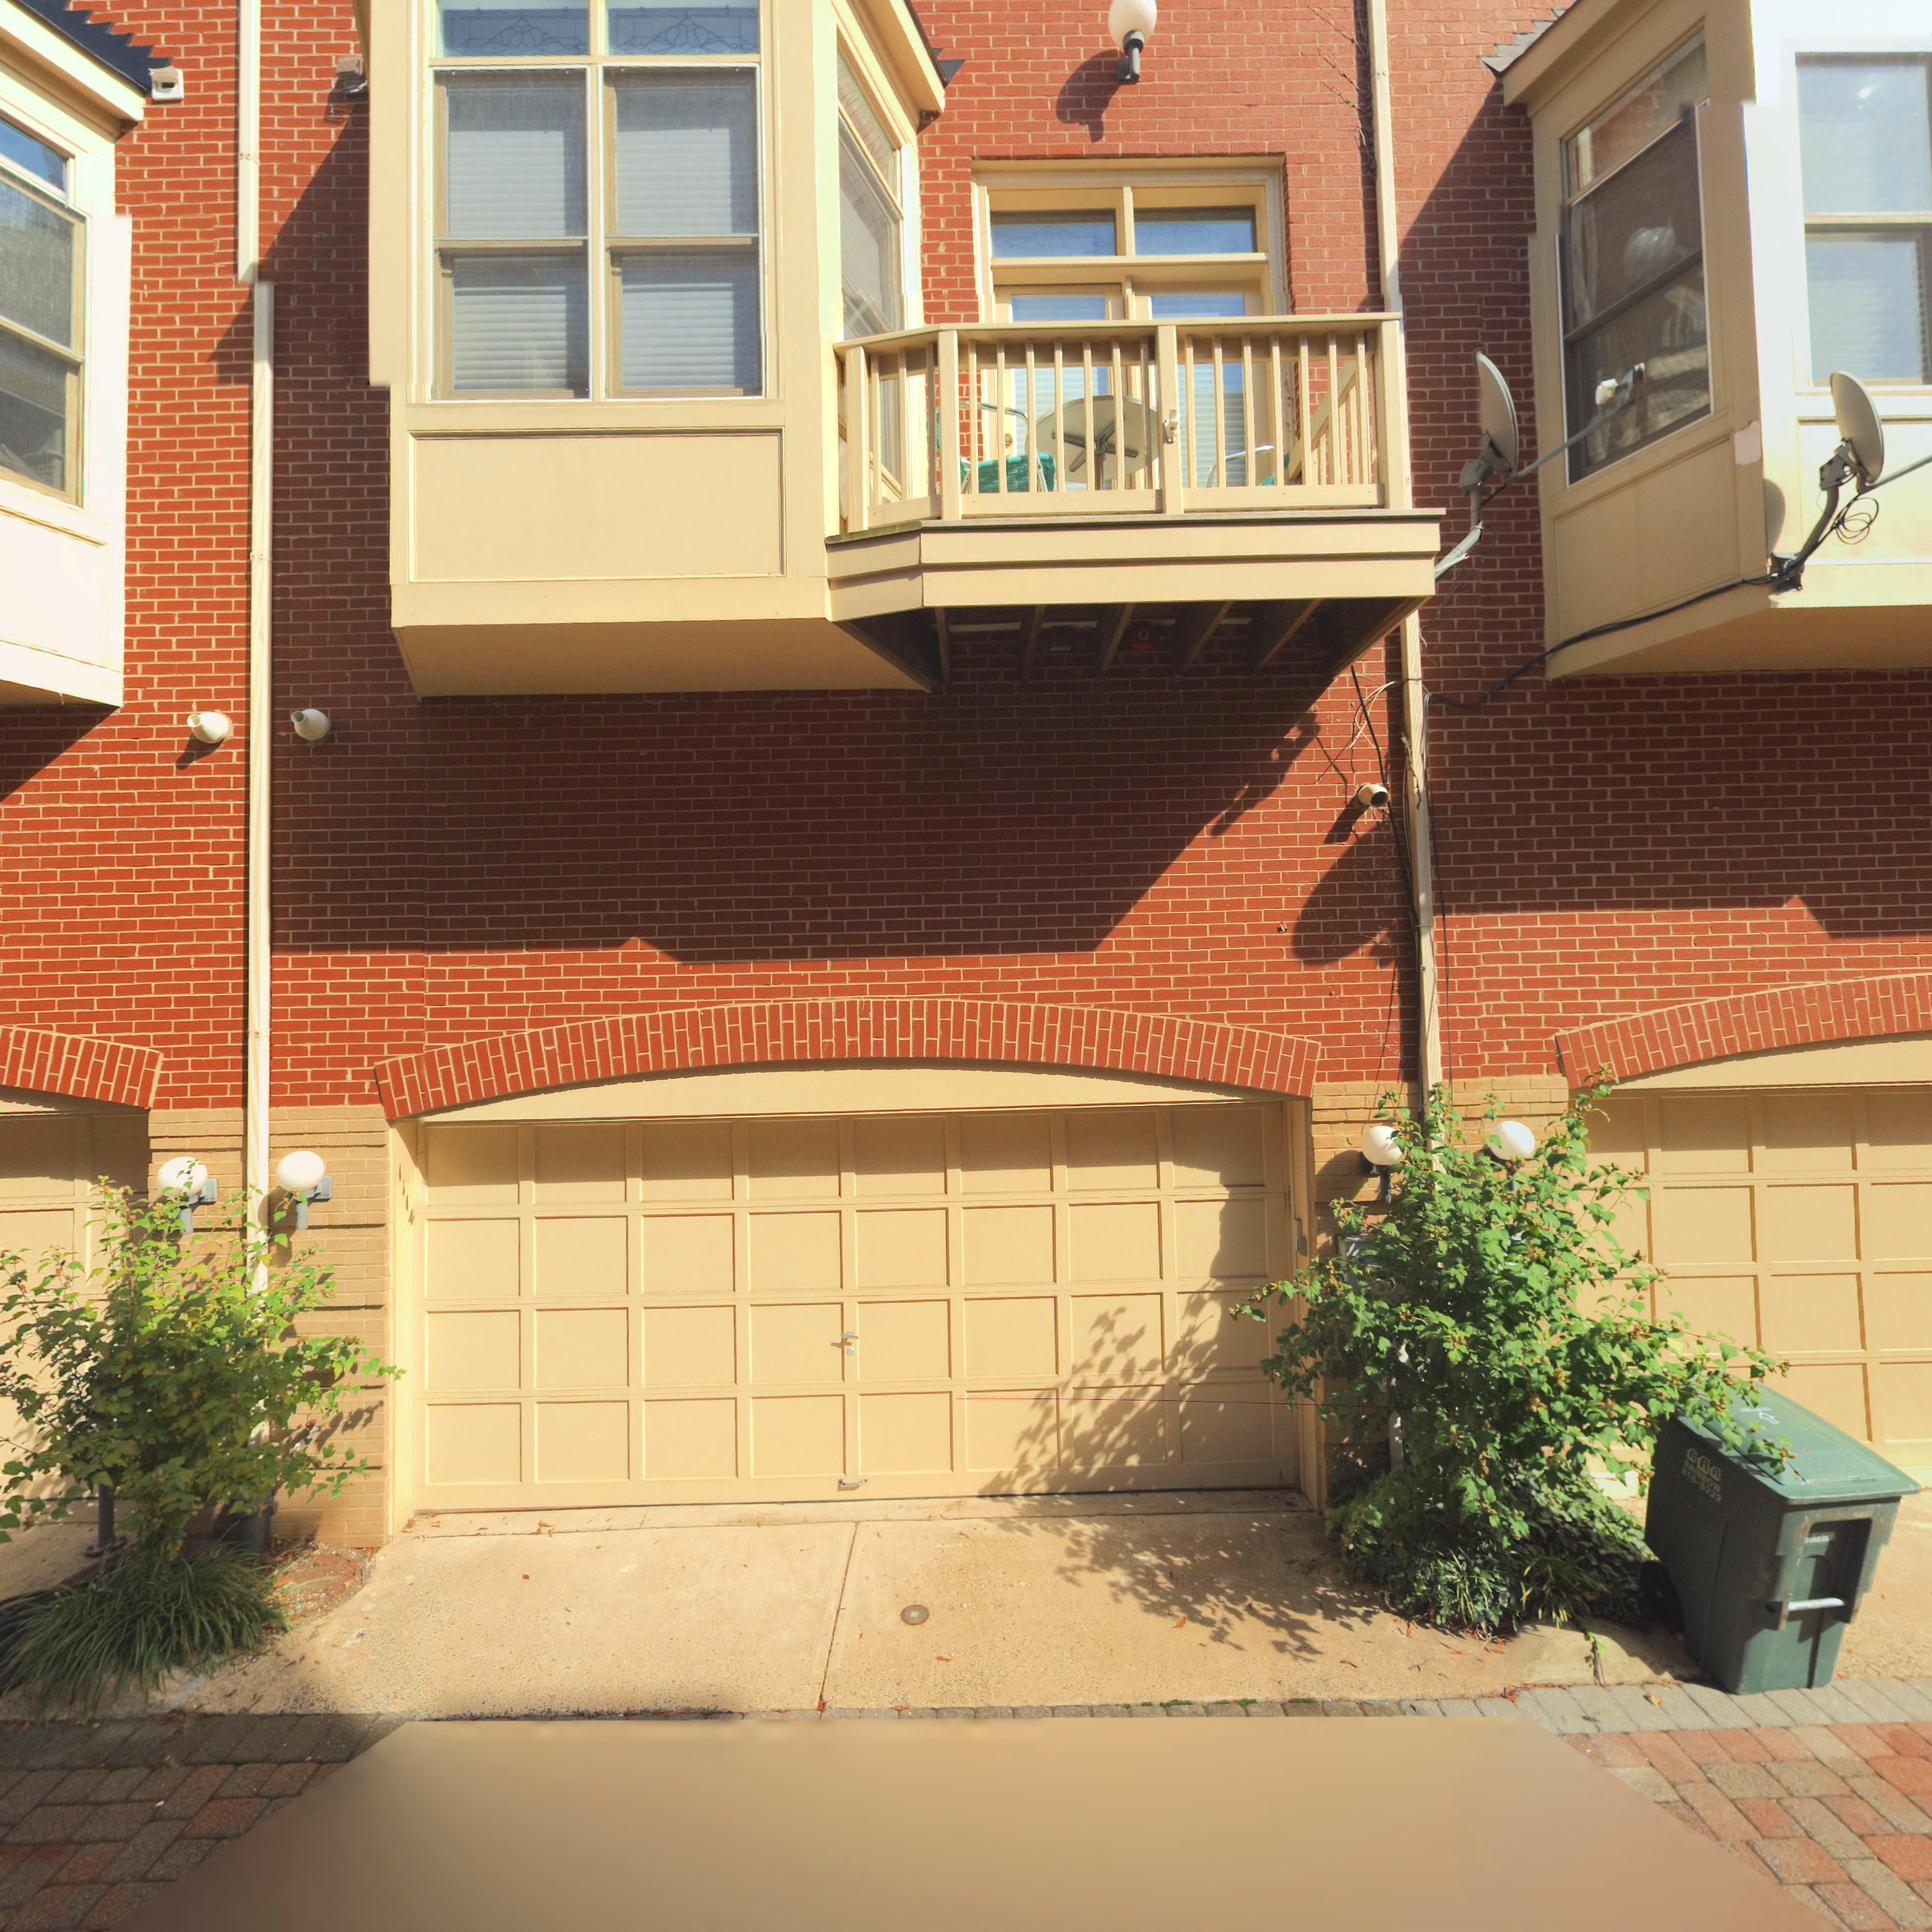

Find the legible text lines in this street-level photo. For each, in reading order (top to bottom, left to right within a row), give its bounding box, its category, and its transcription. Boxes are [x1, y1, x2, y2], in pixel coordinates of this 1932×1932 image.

[397, 1162, 415, 1227] StreetNumber: 1114
[1687, 1448, 1720, 1482] None: AAA
[1686, 1468, 1723, 1506] None: 18-8222
[1701, 1472, 1722, 1494] None: BOW